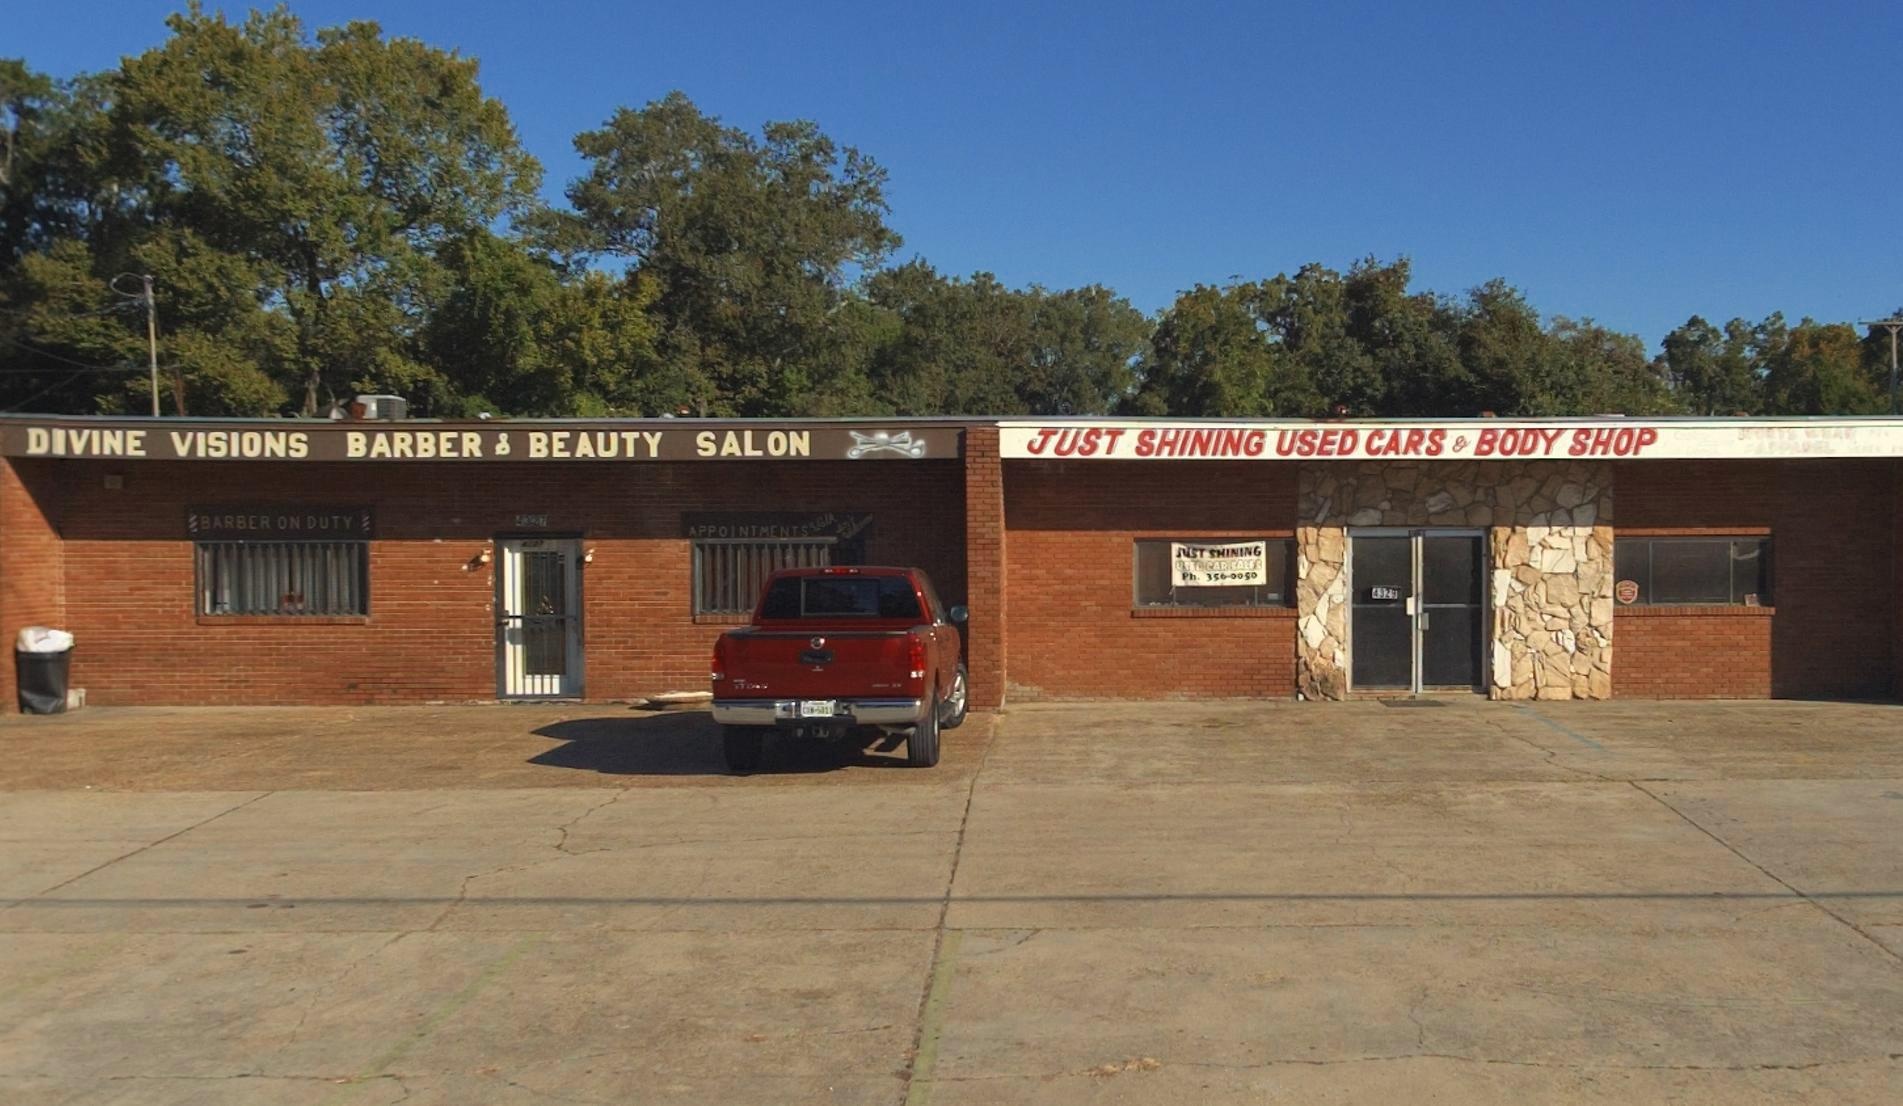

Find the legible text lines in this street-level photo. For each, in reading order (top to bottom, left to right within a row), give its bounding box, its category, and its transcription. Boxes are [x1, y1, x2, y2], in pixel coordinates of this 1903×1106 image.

[21, 423, 815, 462] BusinessName: DIVINE VISIONS BARBER & BEAUTY SALON
[1021, 424, 1663, 462] BusinessName: JUST SHINING USED CARS & BODY SHOP
[198, 513, 357, 532] None: BARBER ON DUTY
[514, 513, 547, 528] StreetNumber: 43*7
[684, 522, 810, 539] None: APPOINTMENTS
[1172, 543, 1265, 561] None: JUST SHINING
[1173, 556, 1265, 573] None: USED CAR SALES
[1180, 570, 1260, 585] None: Ph. 350-0050
[1372, 586, 1398, 599] StreetNumber: 4329